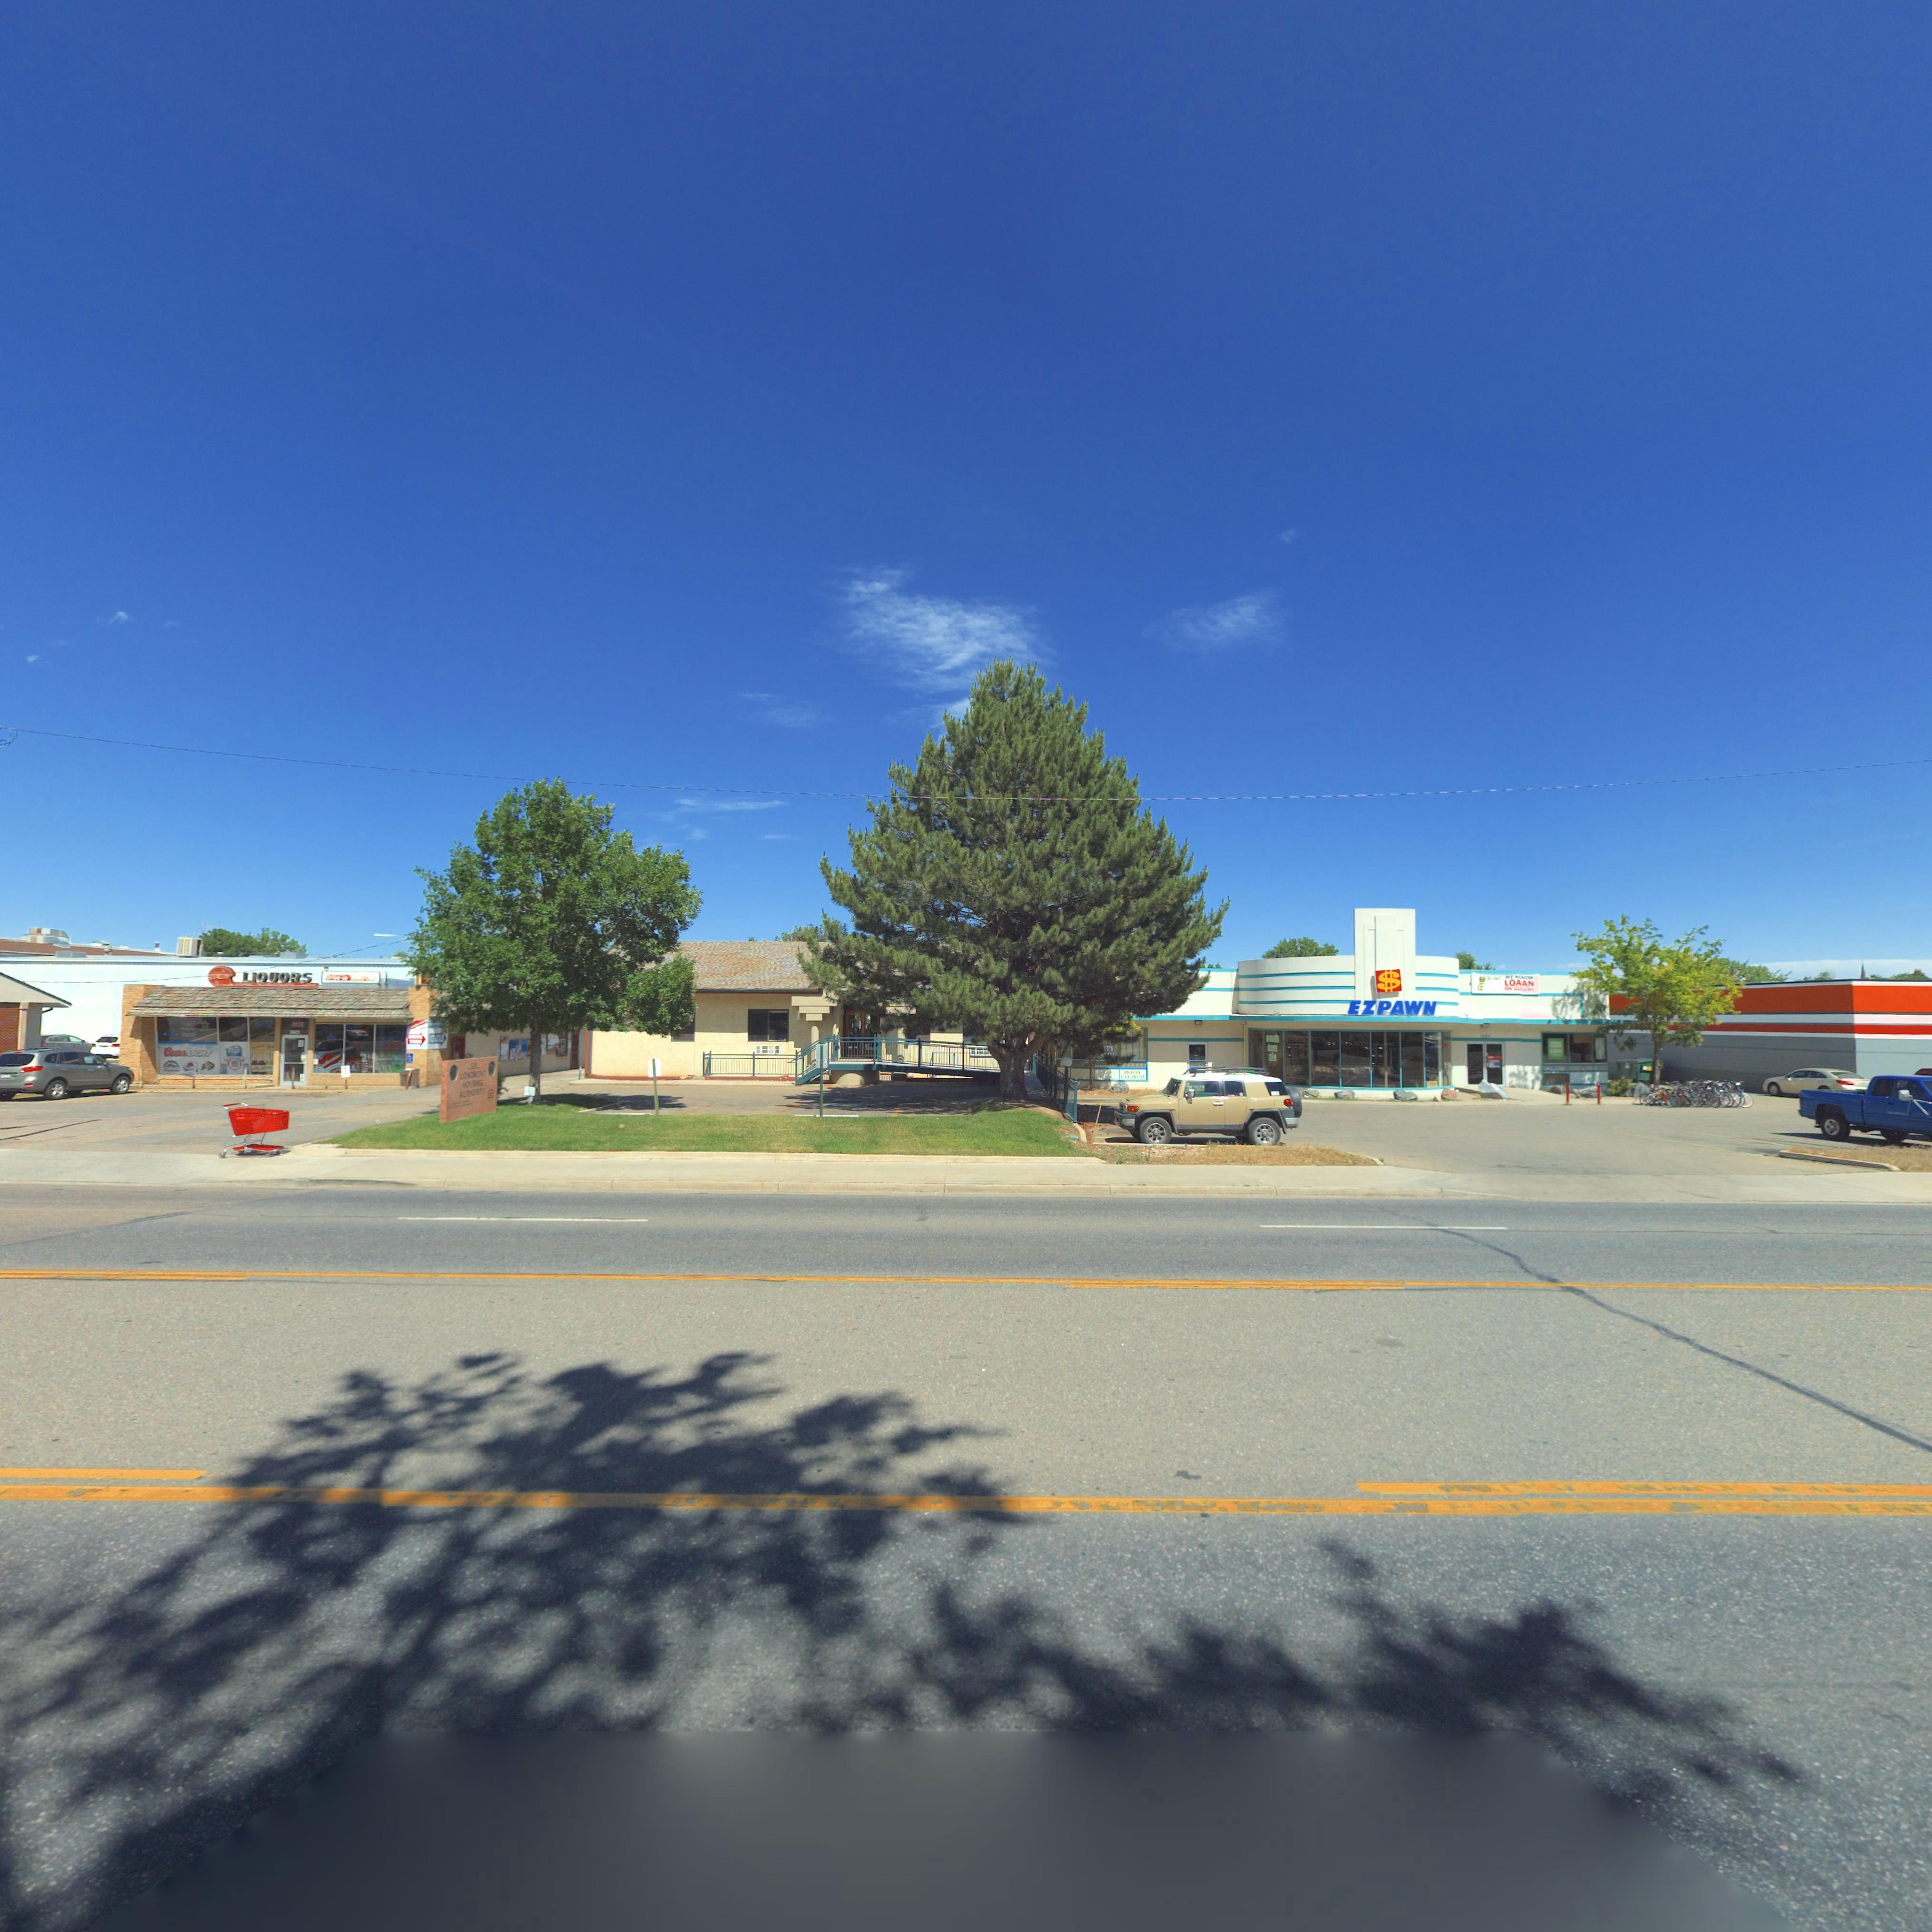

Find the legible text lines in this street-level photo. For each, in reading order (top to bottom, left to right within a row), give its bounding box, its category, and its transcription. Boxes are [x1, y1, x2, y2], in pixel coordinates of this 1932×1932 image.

[208, 974, 232, 979] BusinessName: Q**L***
[242, 971, 313, 984] BusinessName: LIQUORS
[1346, 999, 1438, 1016] BusinessName: EZPAWN
[460, 1069, 487, 1080] BusinessName: LONG****
[461, 1079, 484, 1089] BusinessName: HOUSING
[458, 1087, 486, 1100] BusinessName: A*THORITY